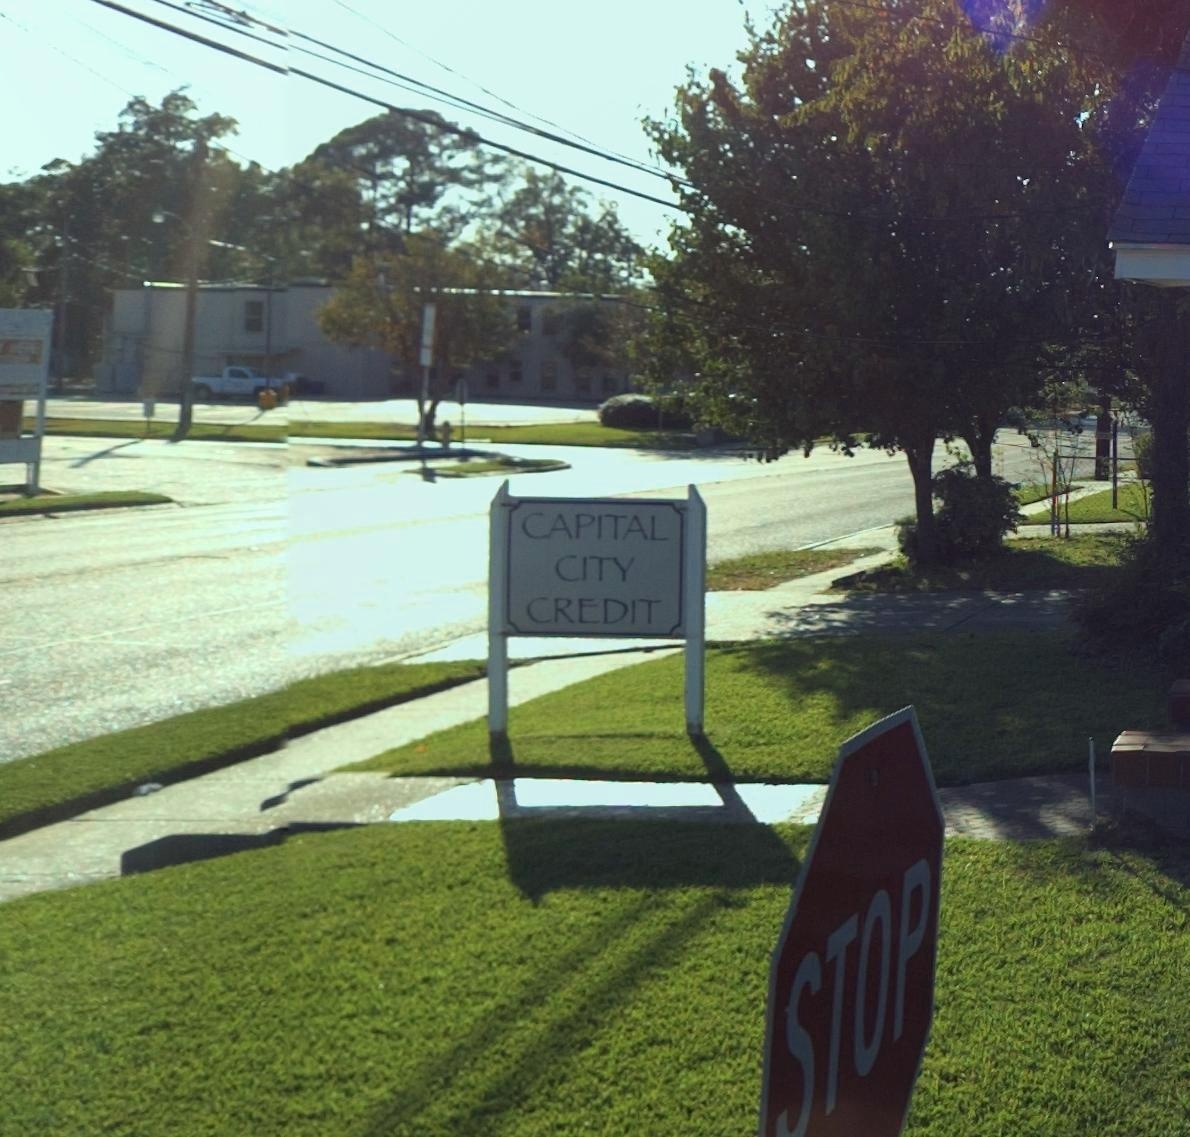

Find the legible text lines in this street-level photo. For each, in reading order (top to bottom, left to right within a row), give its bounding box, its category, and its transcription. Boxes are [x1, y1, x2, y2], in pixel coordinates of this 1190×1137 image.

[520, 511, 671, 542] BusinessName: CAPITAL
[554, 552, 638, 585] BusinessName: CITY
[524, 595, 662, 626] BusinessName: CREDIT
[771, 843, 935, 1137] None: STOP